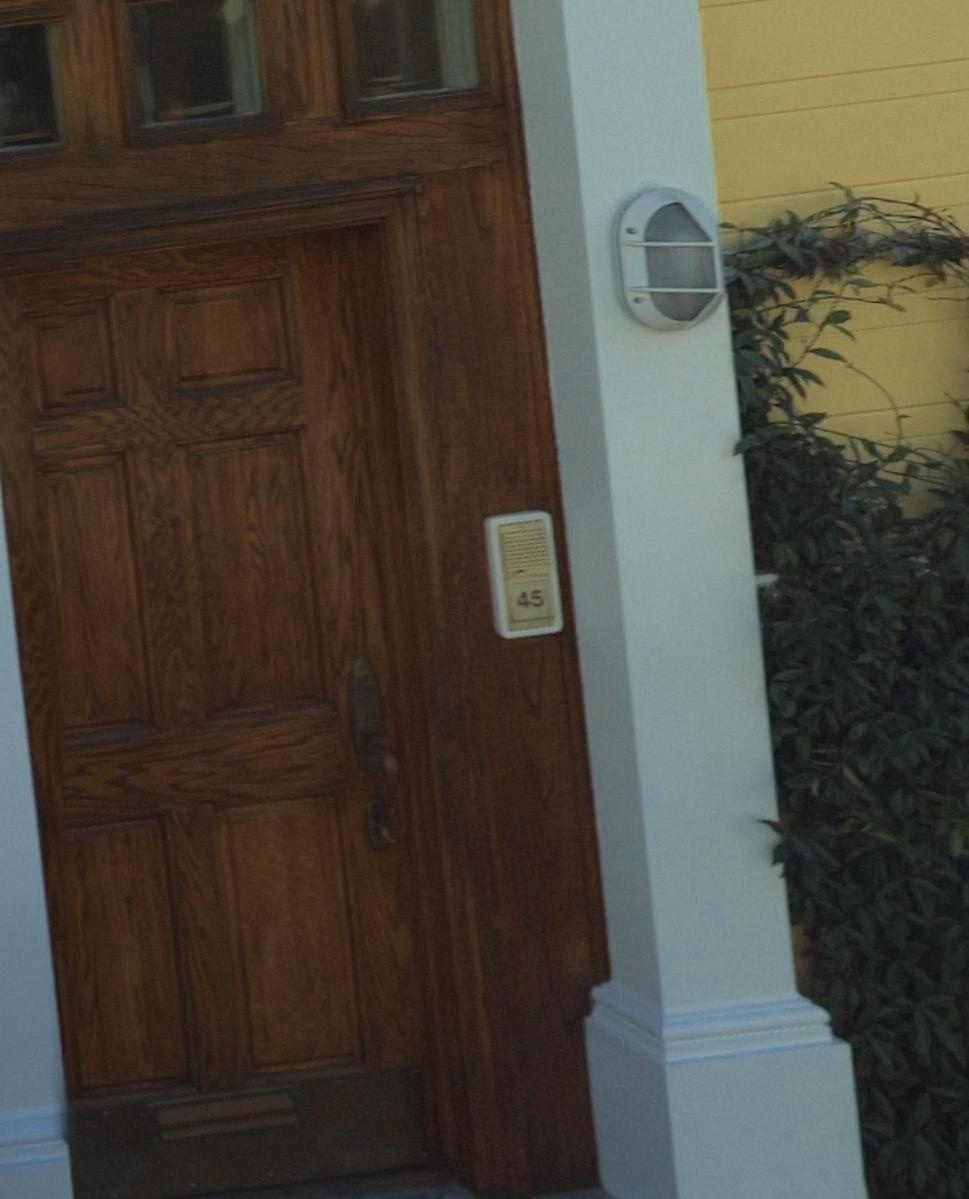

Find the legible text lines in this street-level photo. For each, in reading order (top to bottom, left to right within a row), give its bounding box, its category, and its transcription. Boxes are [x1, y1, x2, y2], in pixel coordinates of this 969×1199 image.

[514, 587, 547, 612] StreetNumber: 45